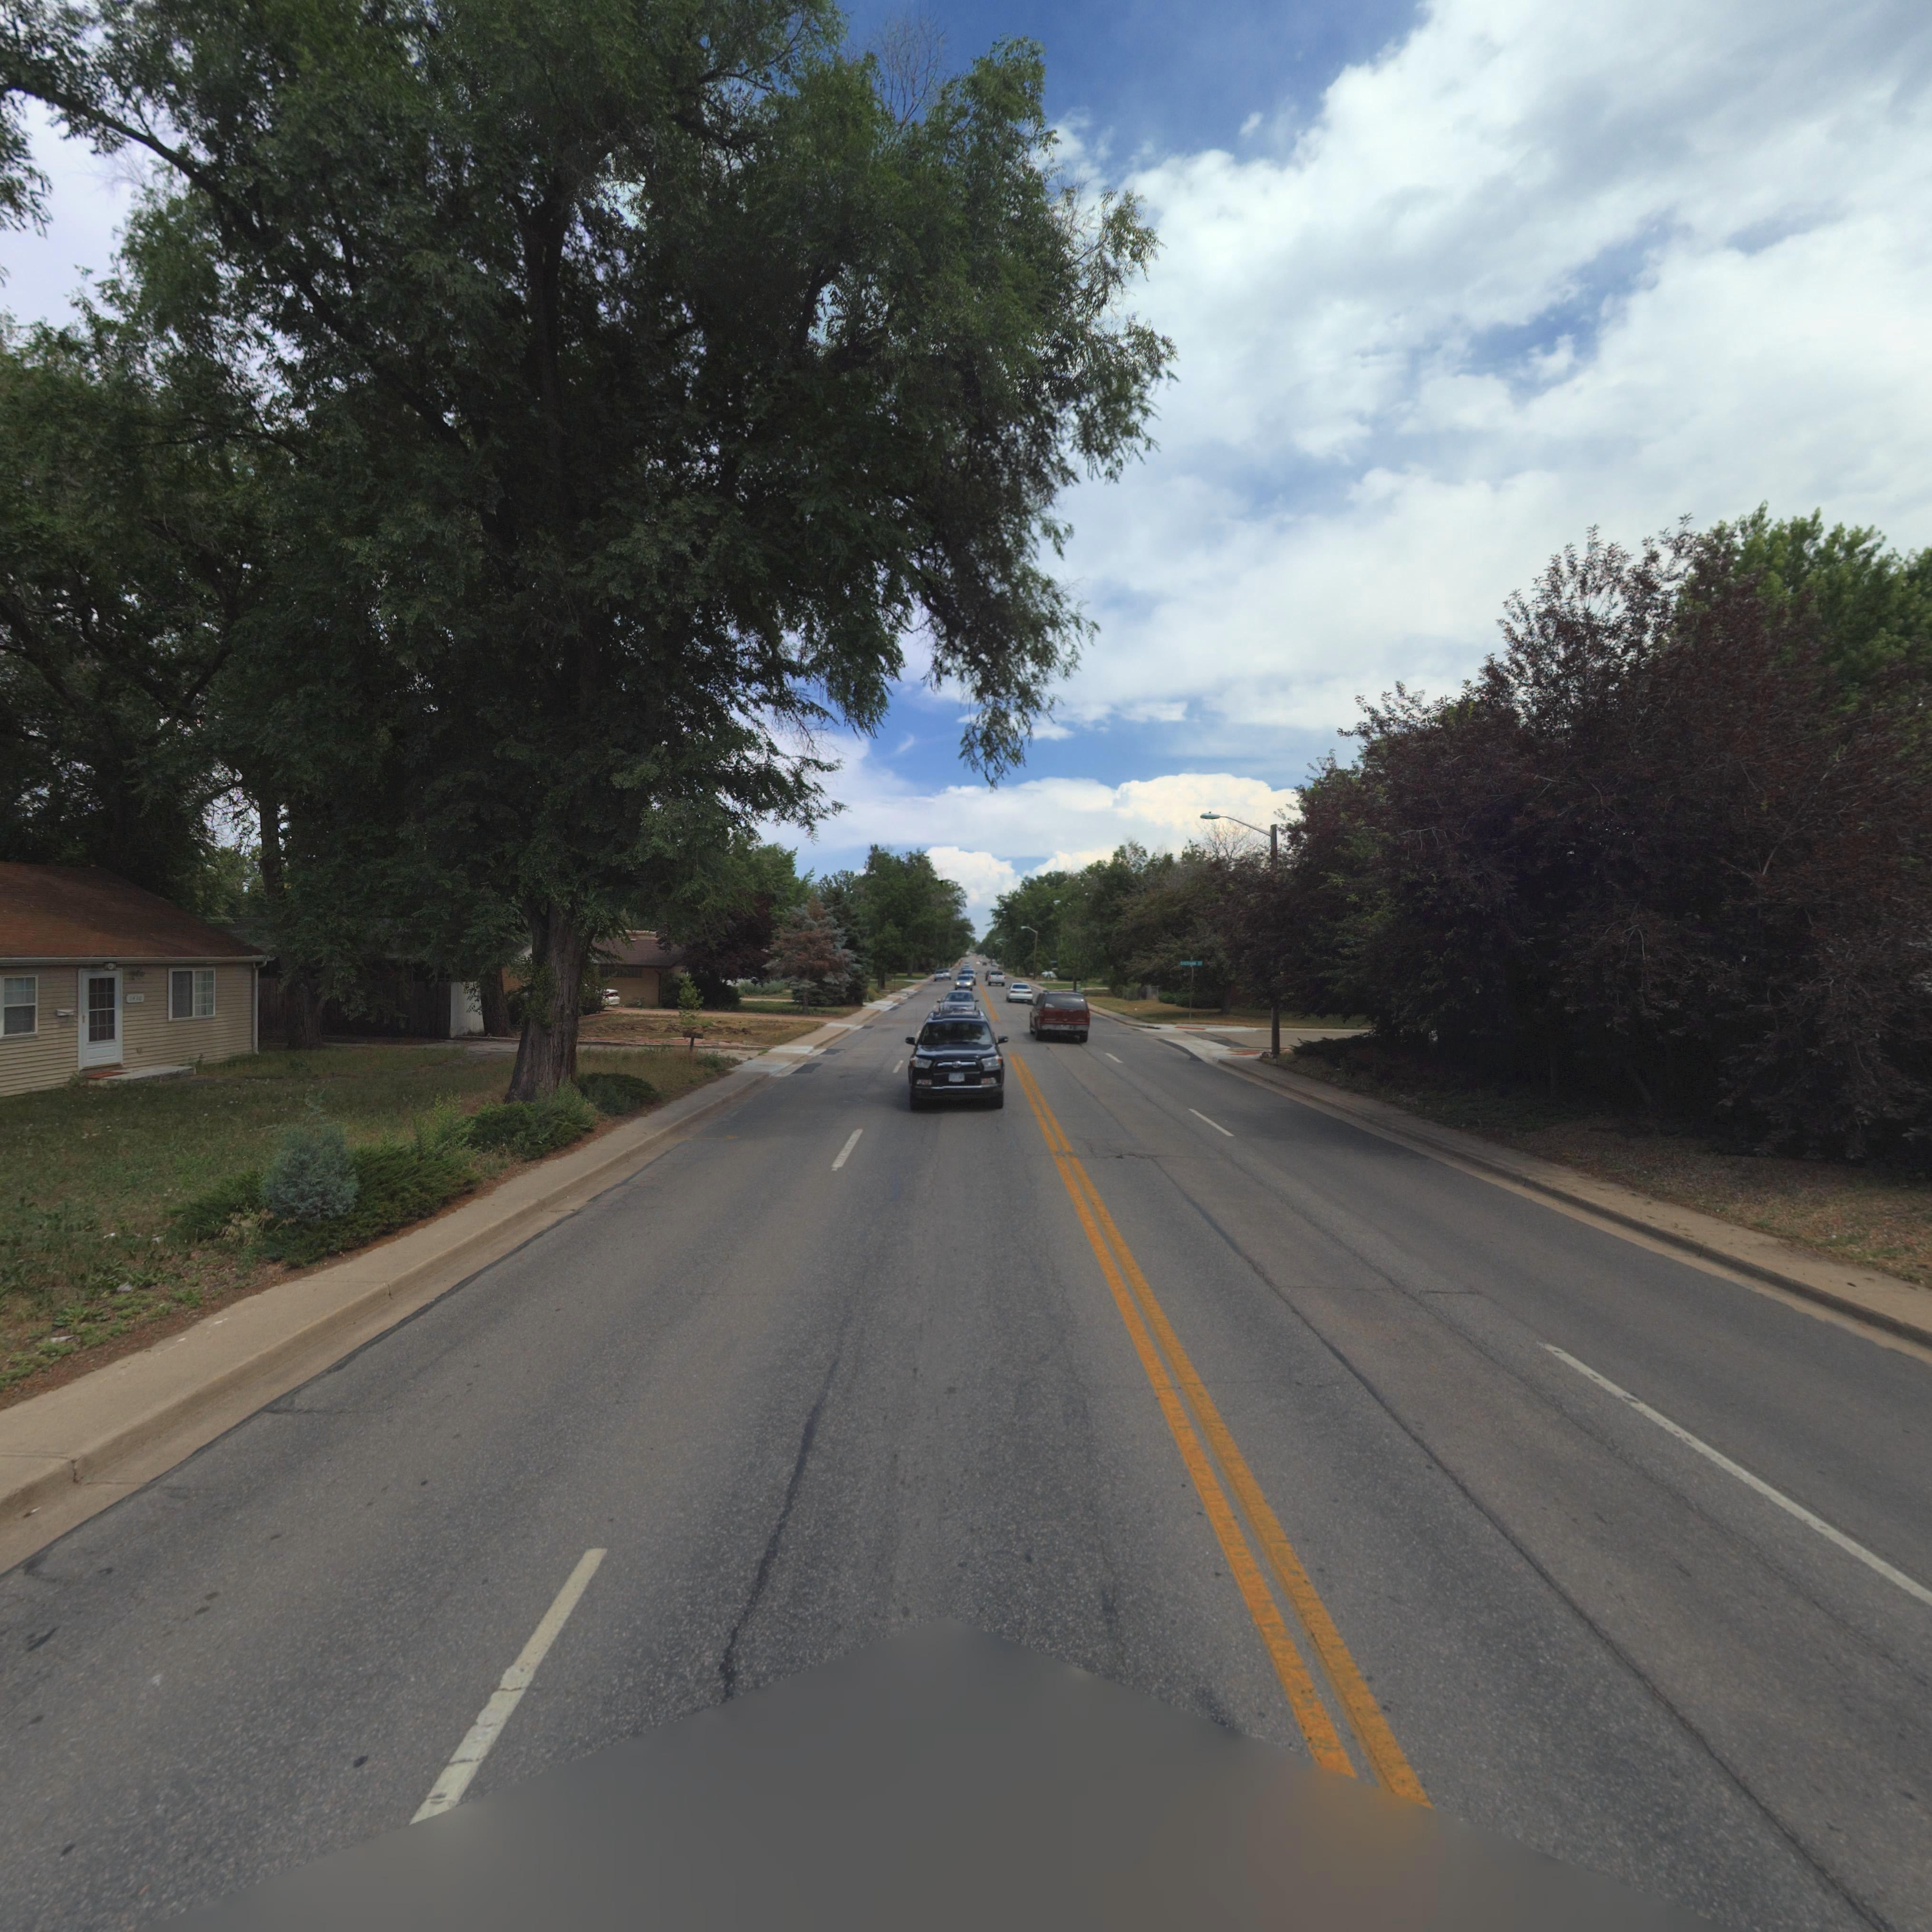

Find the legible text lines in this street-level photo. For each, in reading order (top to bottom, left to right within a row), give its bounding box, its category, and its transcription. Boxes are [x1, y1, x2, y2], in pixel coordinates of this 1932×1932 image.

[1179, 961, 1203, 966] StreetName: SHER*A* ST
[129, 995, 143, 1002] StreetNumber: 141*
[683, 1031, 702, 1039] StreetNumber: 1*10